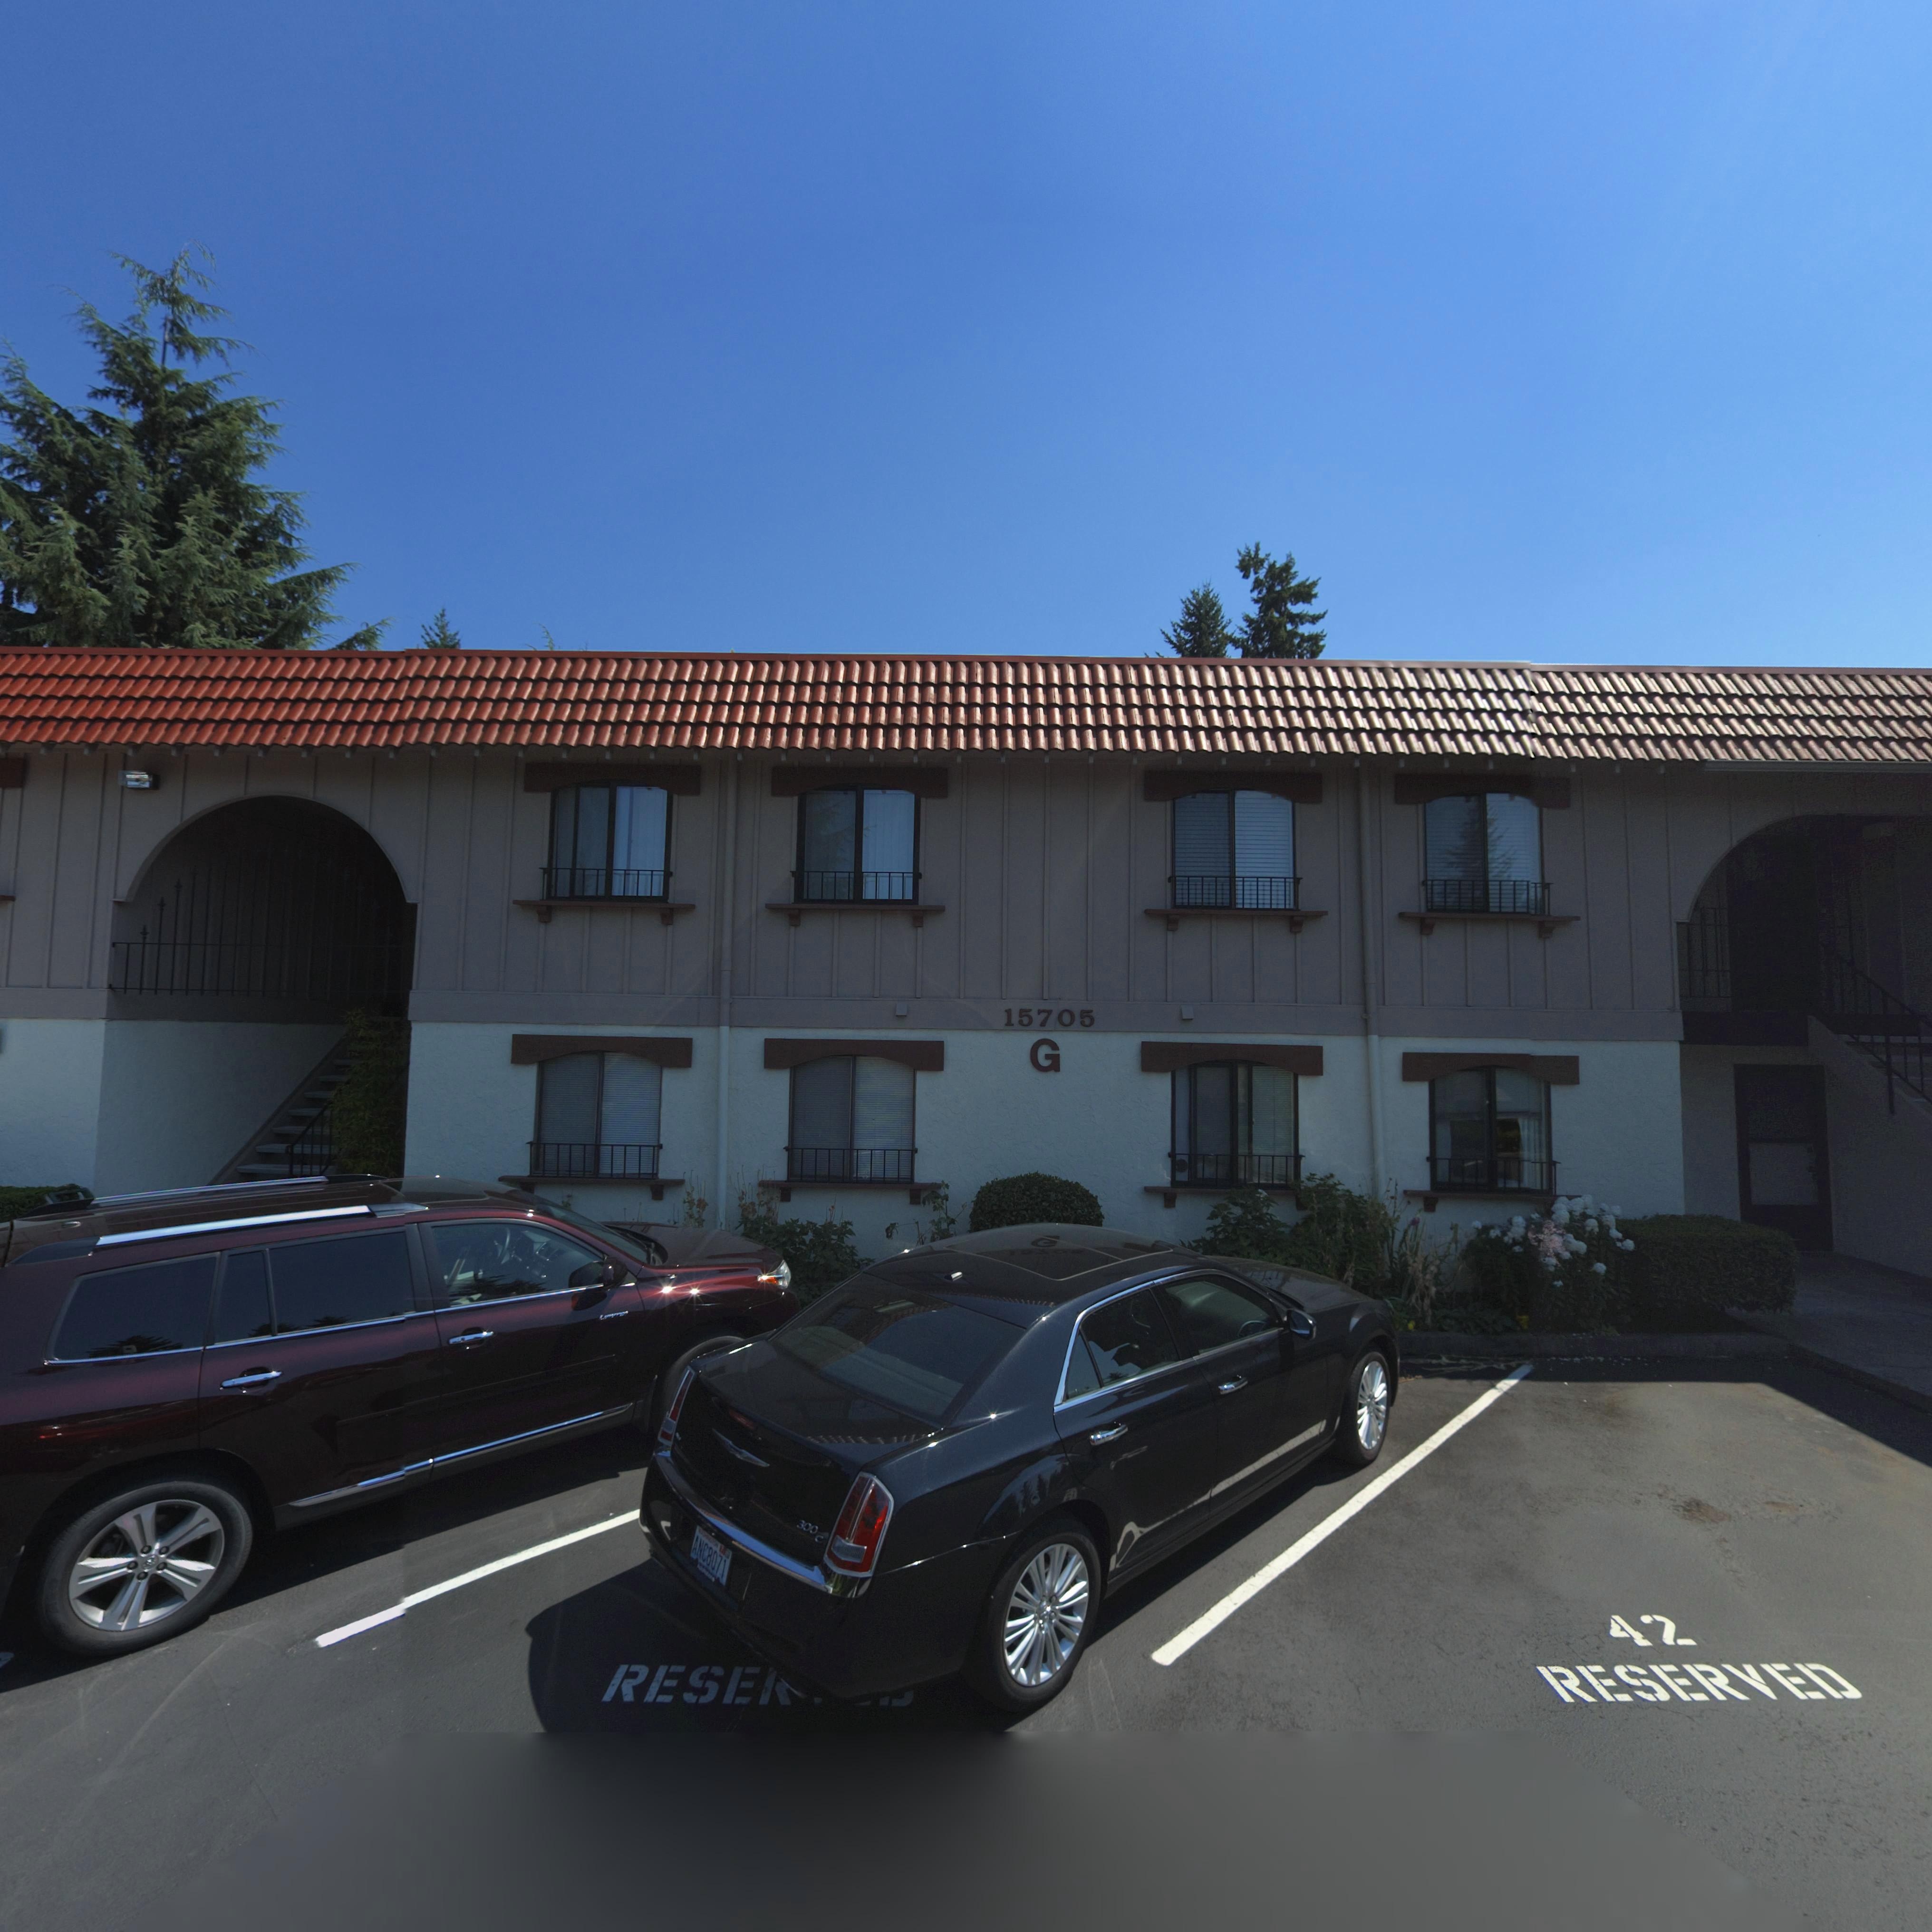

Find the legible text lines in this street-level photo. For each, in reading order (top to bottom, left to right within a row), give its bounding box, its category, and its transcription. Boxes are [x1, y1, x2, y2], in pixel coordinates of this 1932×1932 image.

[1005, 1009, 1094, 1026] StreetNumber: 15705
[1029, 1038, 1060, 1072] StreetNumber: G